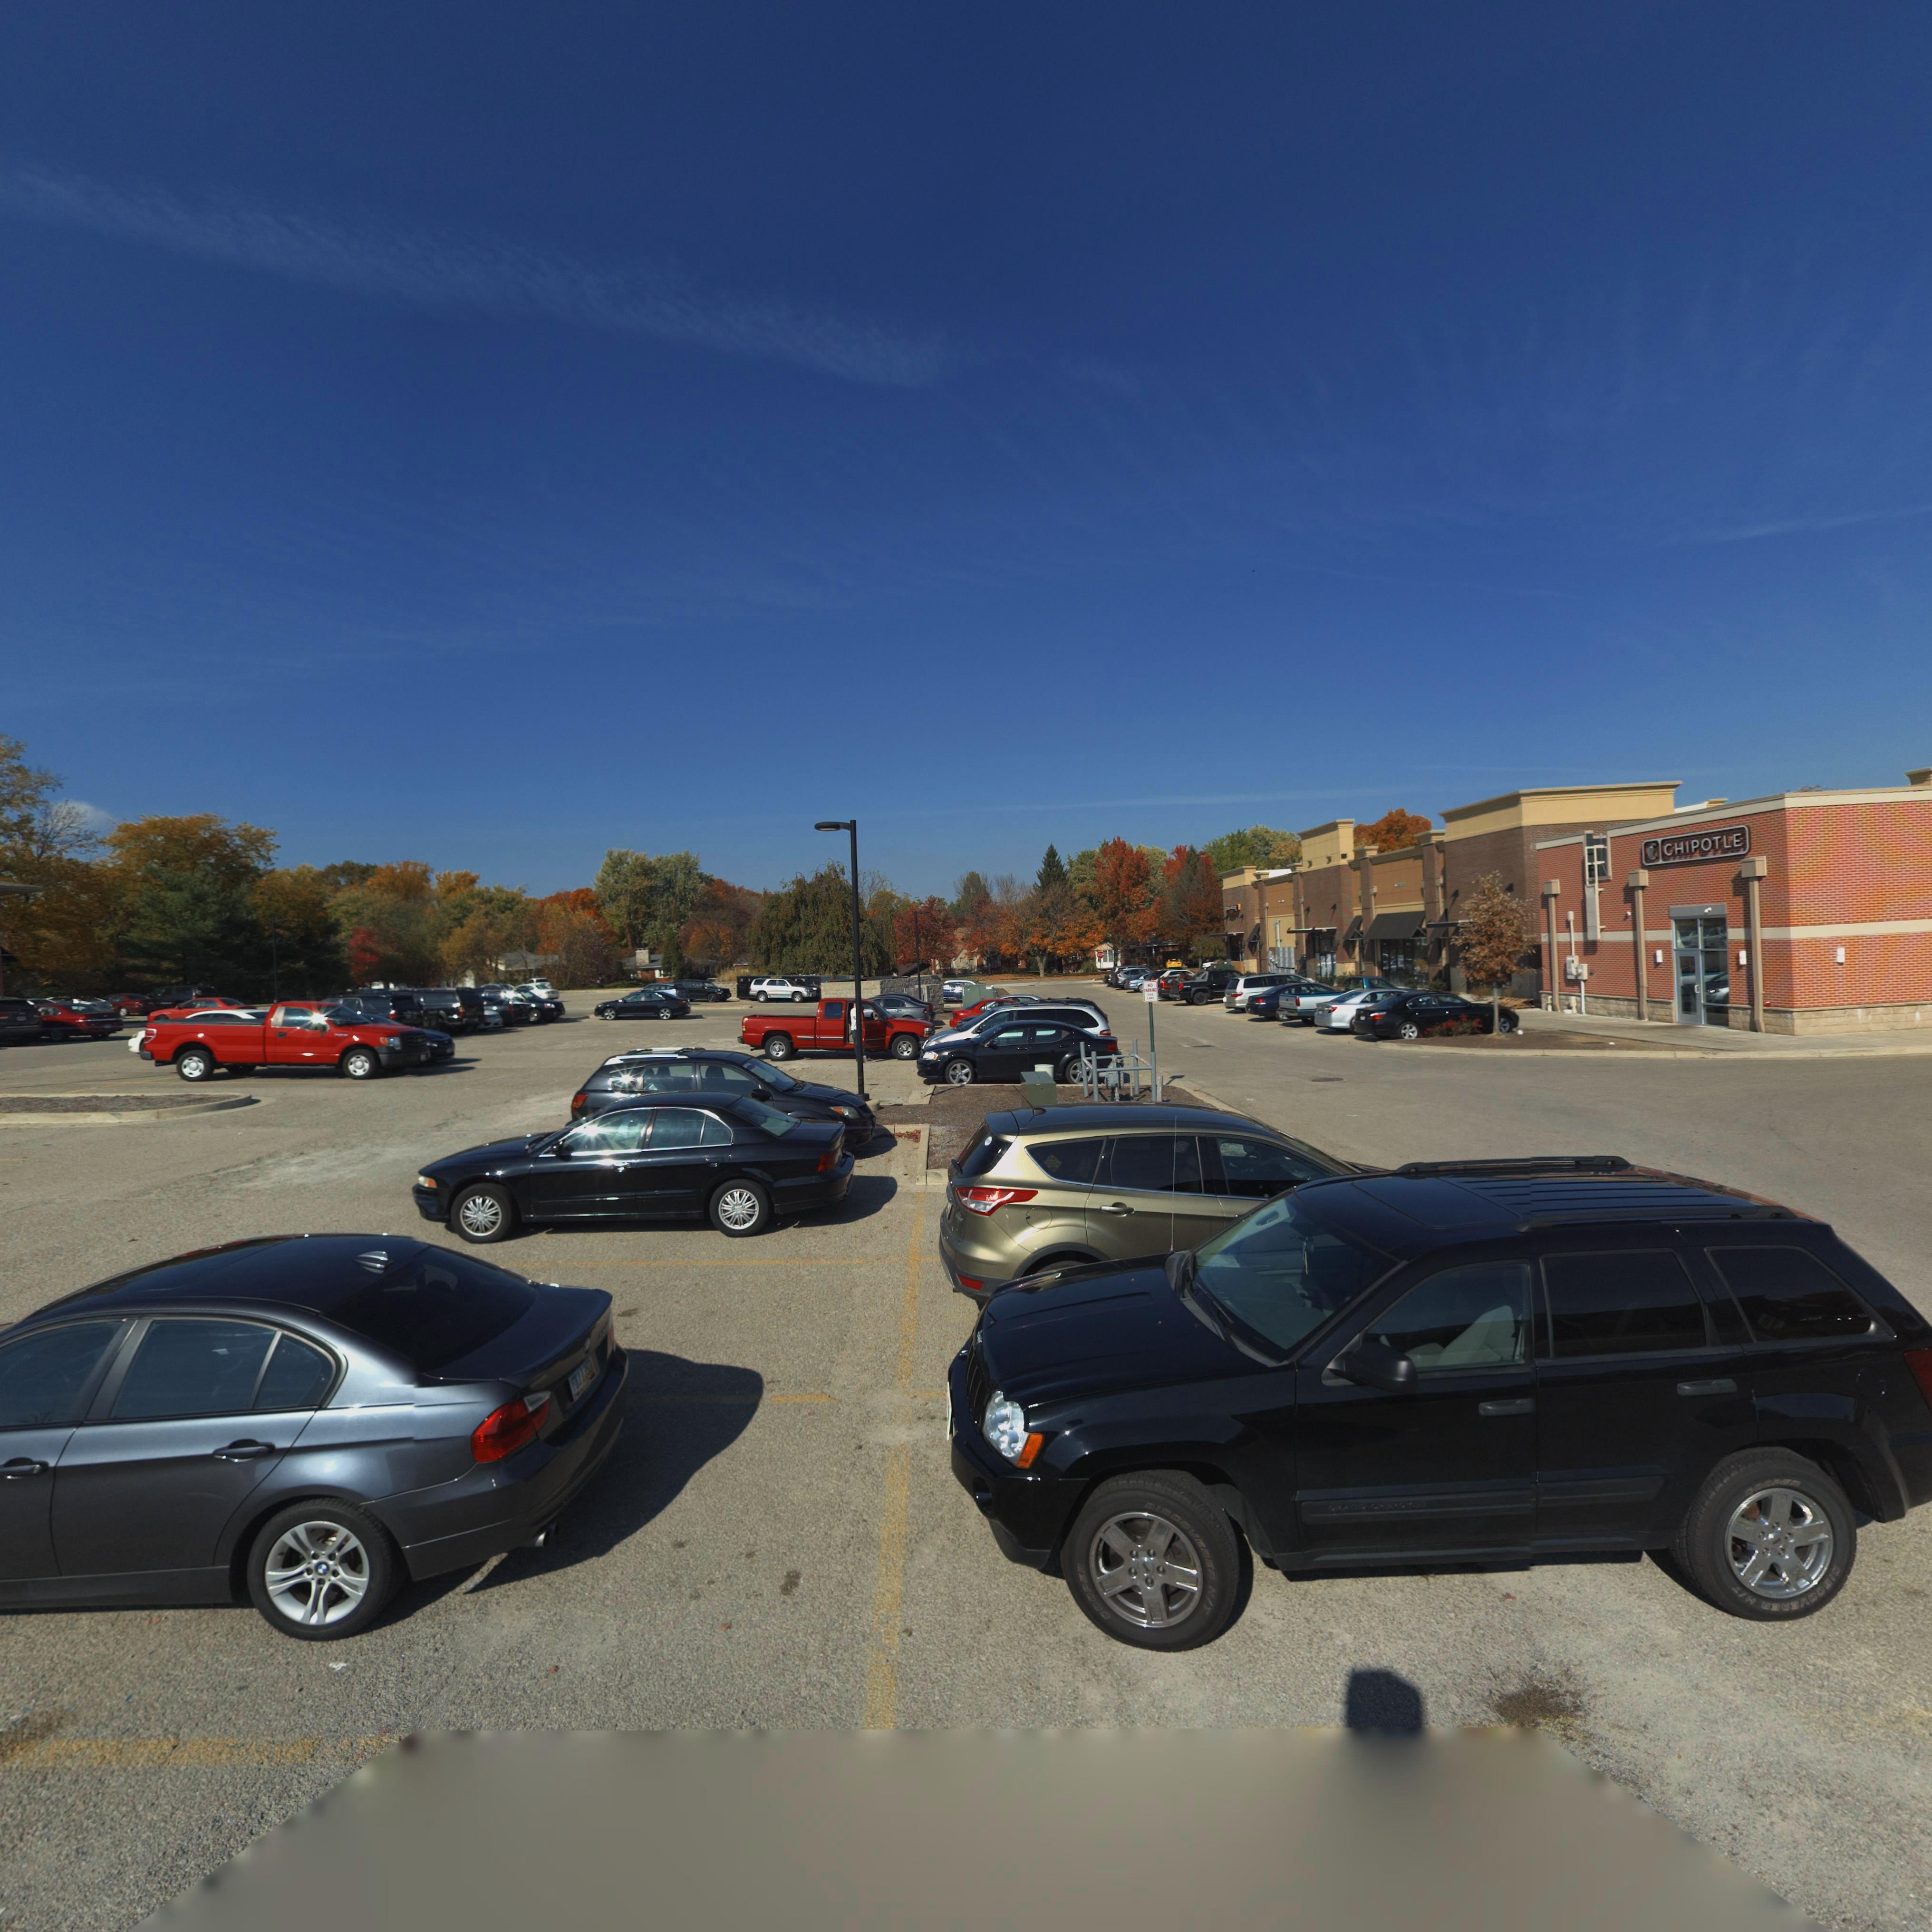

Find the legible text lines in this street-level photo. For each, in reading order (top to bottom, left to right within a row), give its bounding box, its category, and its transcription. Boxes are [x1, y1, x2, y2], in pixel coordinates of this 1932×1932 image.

[1663, 832, 1744, 858] BusinessName: CHIPOTLE
[1146, 982, 1154, 988] None: *O